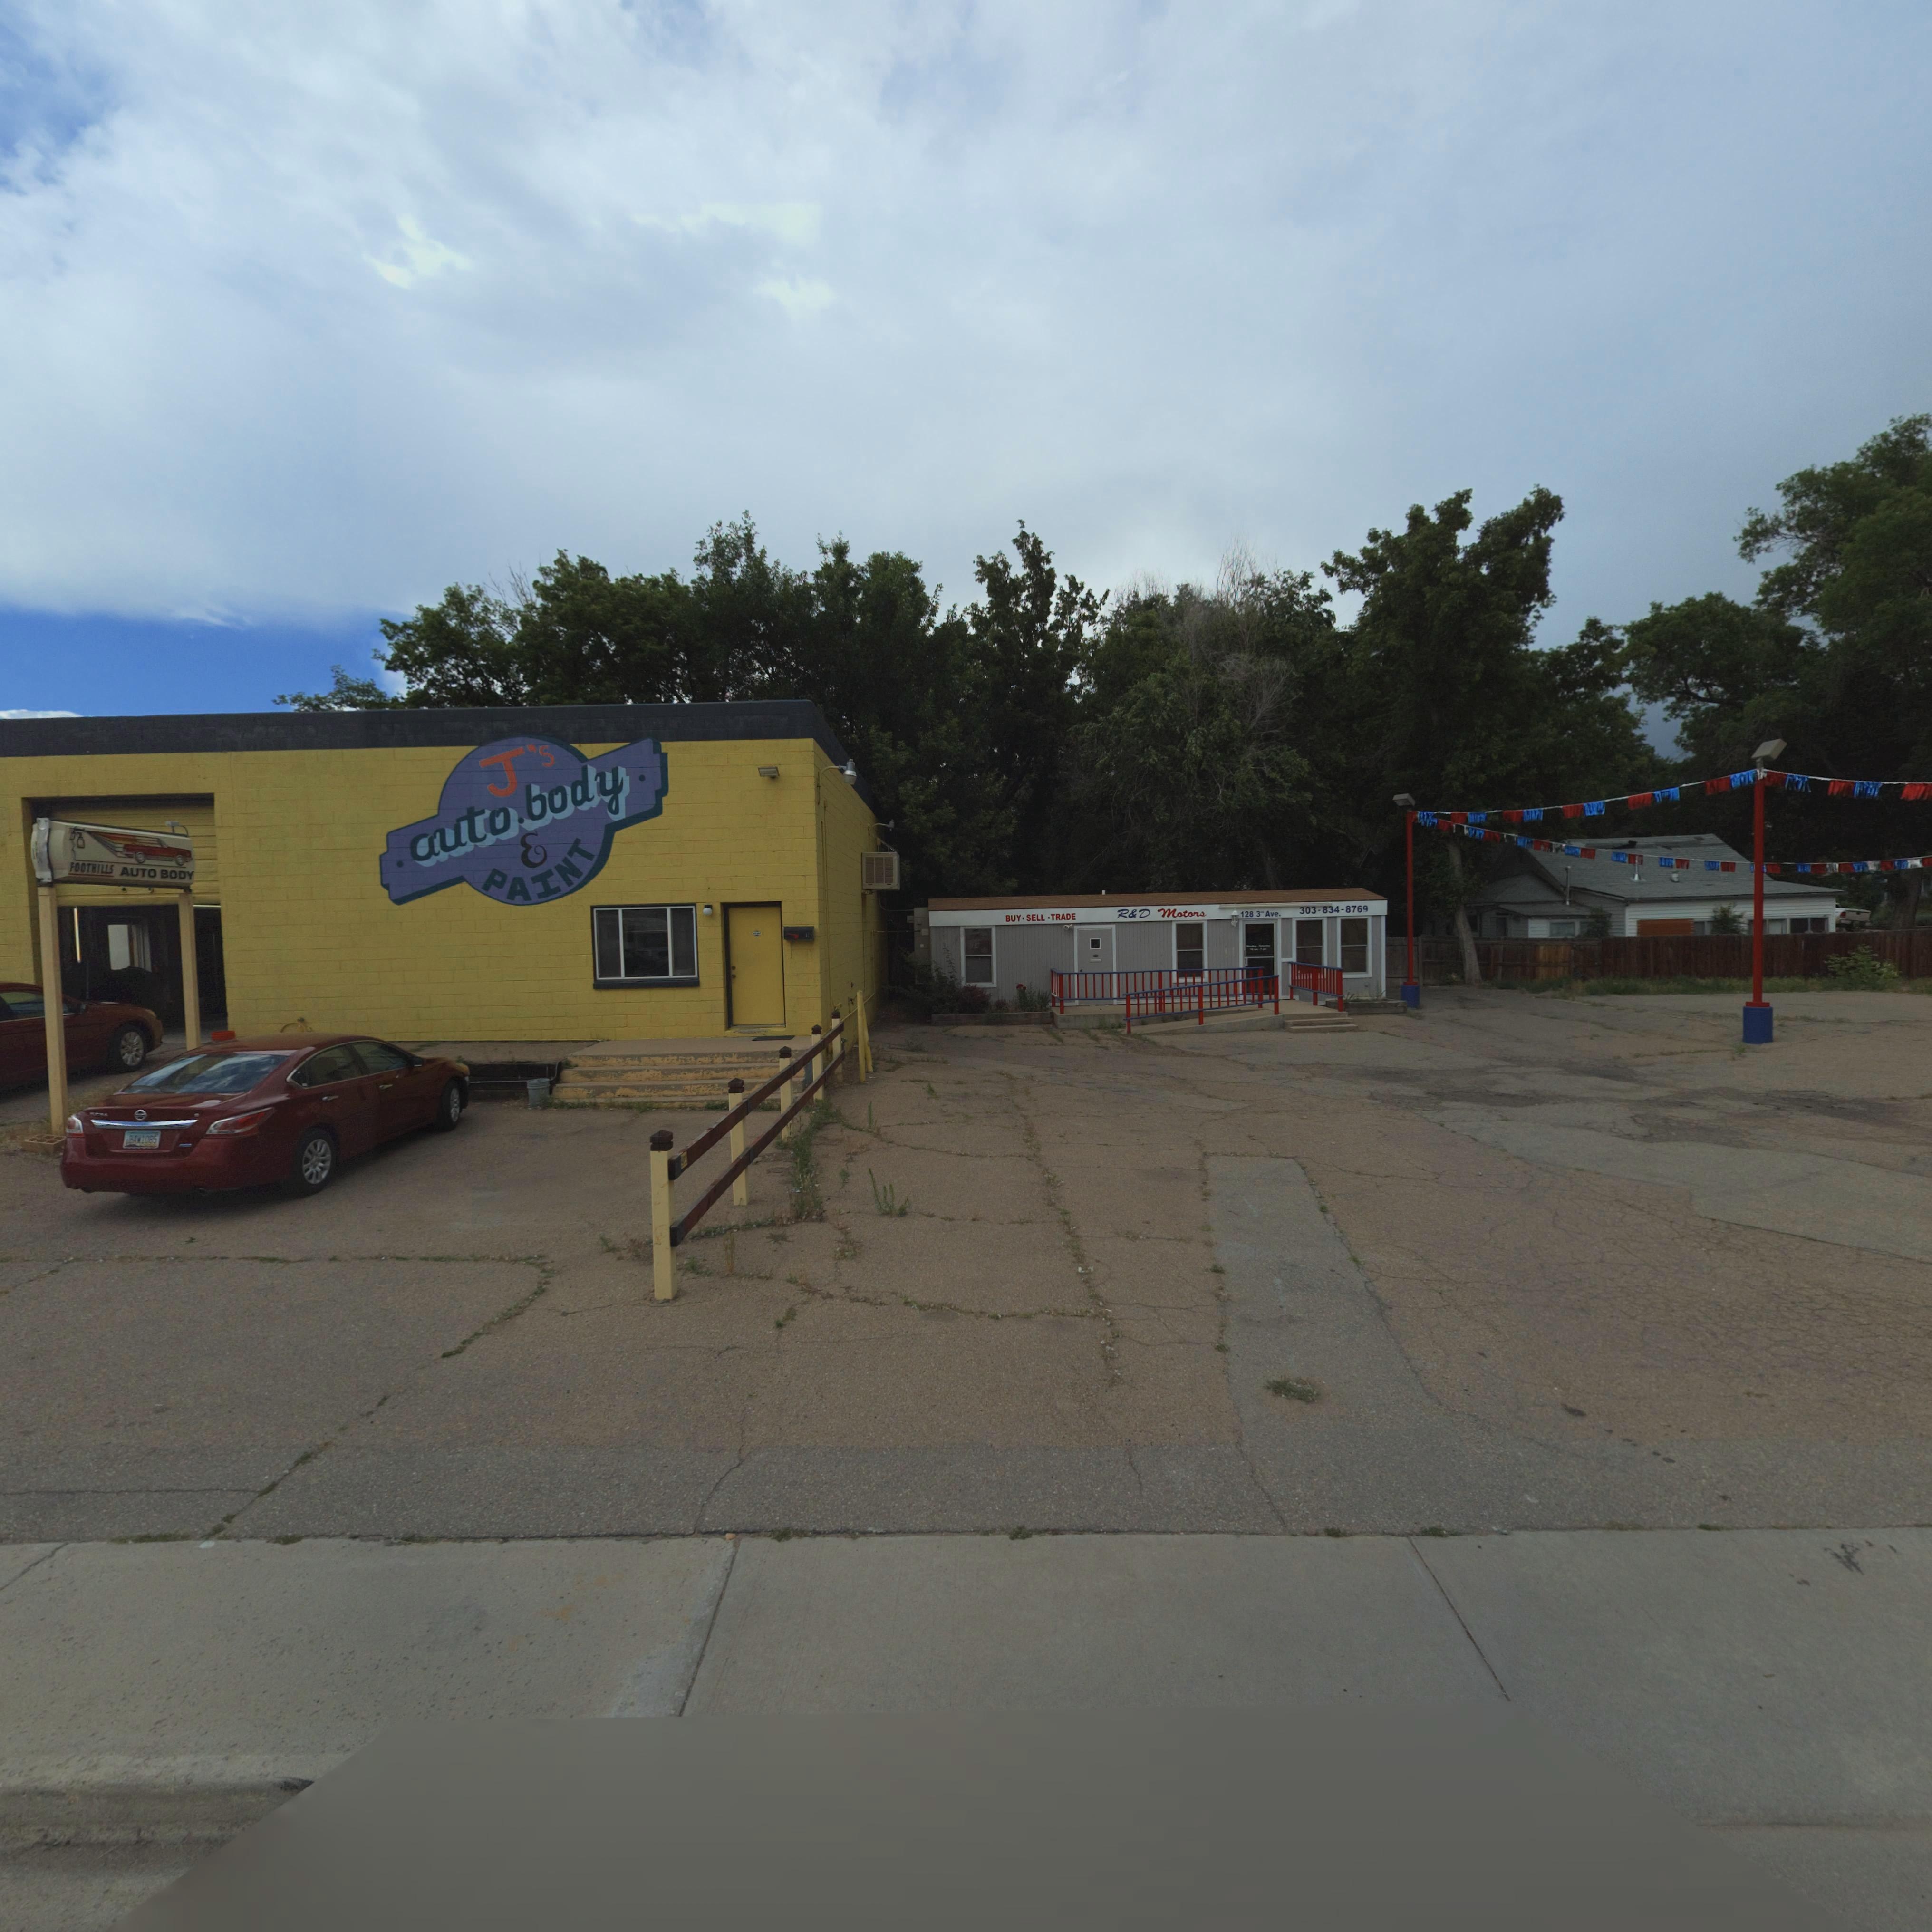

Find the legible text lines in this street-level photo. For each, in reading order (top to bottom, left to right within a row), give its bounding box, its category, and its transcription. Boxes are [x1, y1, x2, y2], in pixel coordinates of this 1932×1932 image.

[478, 743, 555, 798] BusinessName: J*s
[408, 764, 624, 863] BusinessName: auto * body
[68, 860, 116, 875] BusinessName: FOOTHILLS
[117, 865, 194, 880] BusinessName: AUTO BODY
[479, 836, 596, 901] BusinessName: PAINT
[1116, 908, 1150, 919] BusinessName: R*D
[1157, 907, 1207, 918] BusinessName: Motors
[1240, 910, 1254, 917] StreetNumber: 128
[1256, 910, 1279, 917] StreetName: 3* Ave